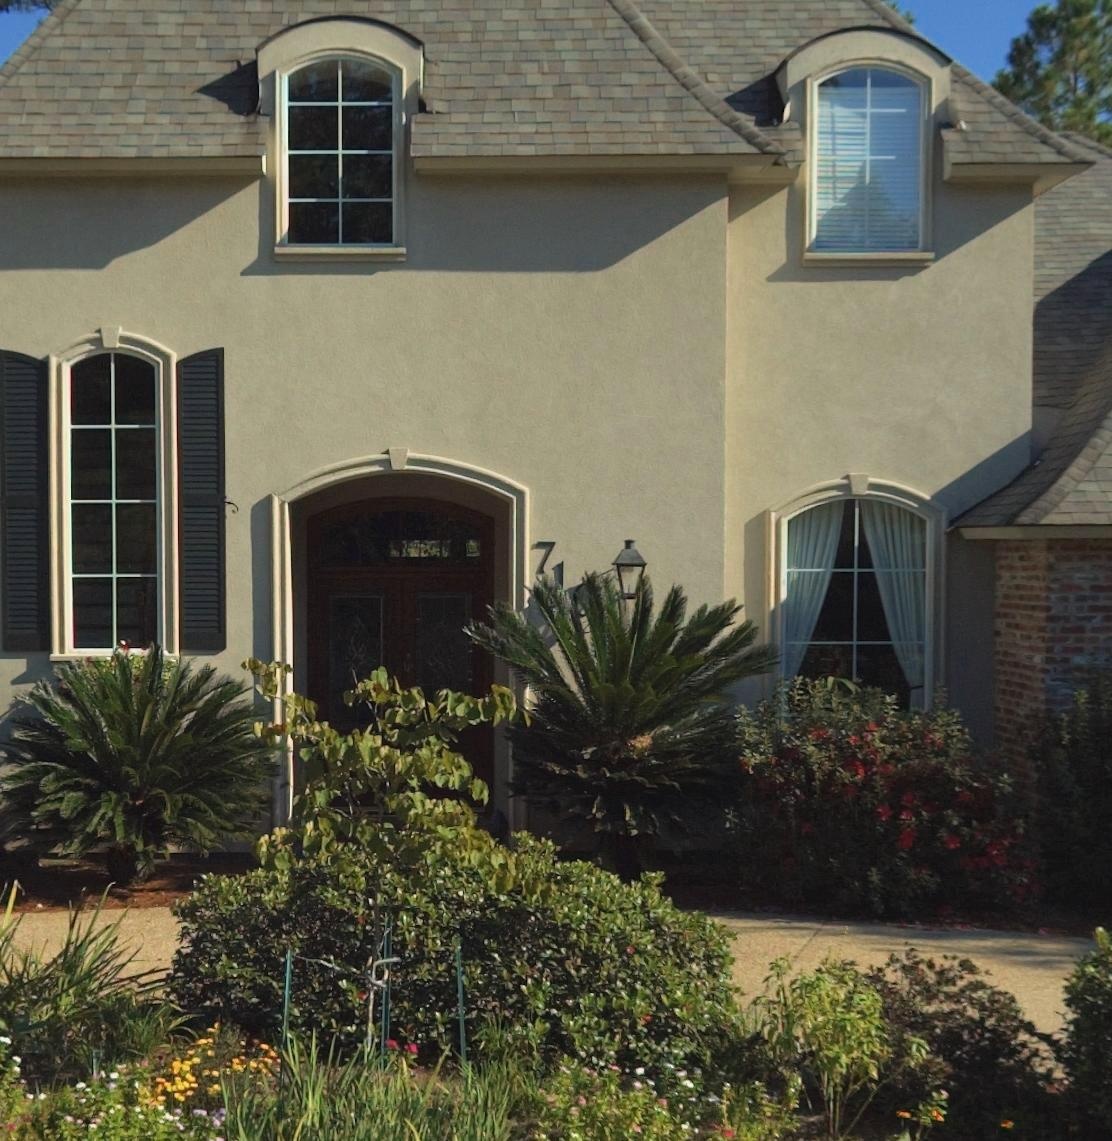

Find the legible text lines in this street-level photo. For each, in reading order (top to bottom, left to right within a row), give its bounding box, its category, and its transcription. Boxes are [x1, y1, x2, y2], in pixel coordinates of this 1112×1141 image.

[532, 539, 560, 576] StreetNumber: 7